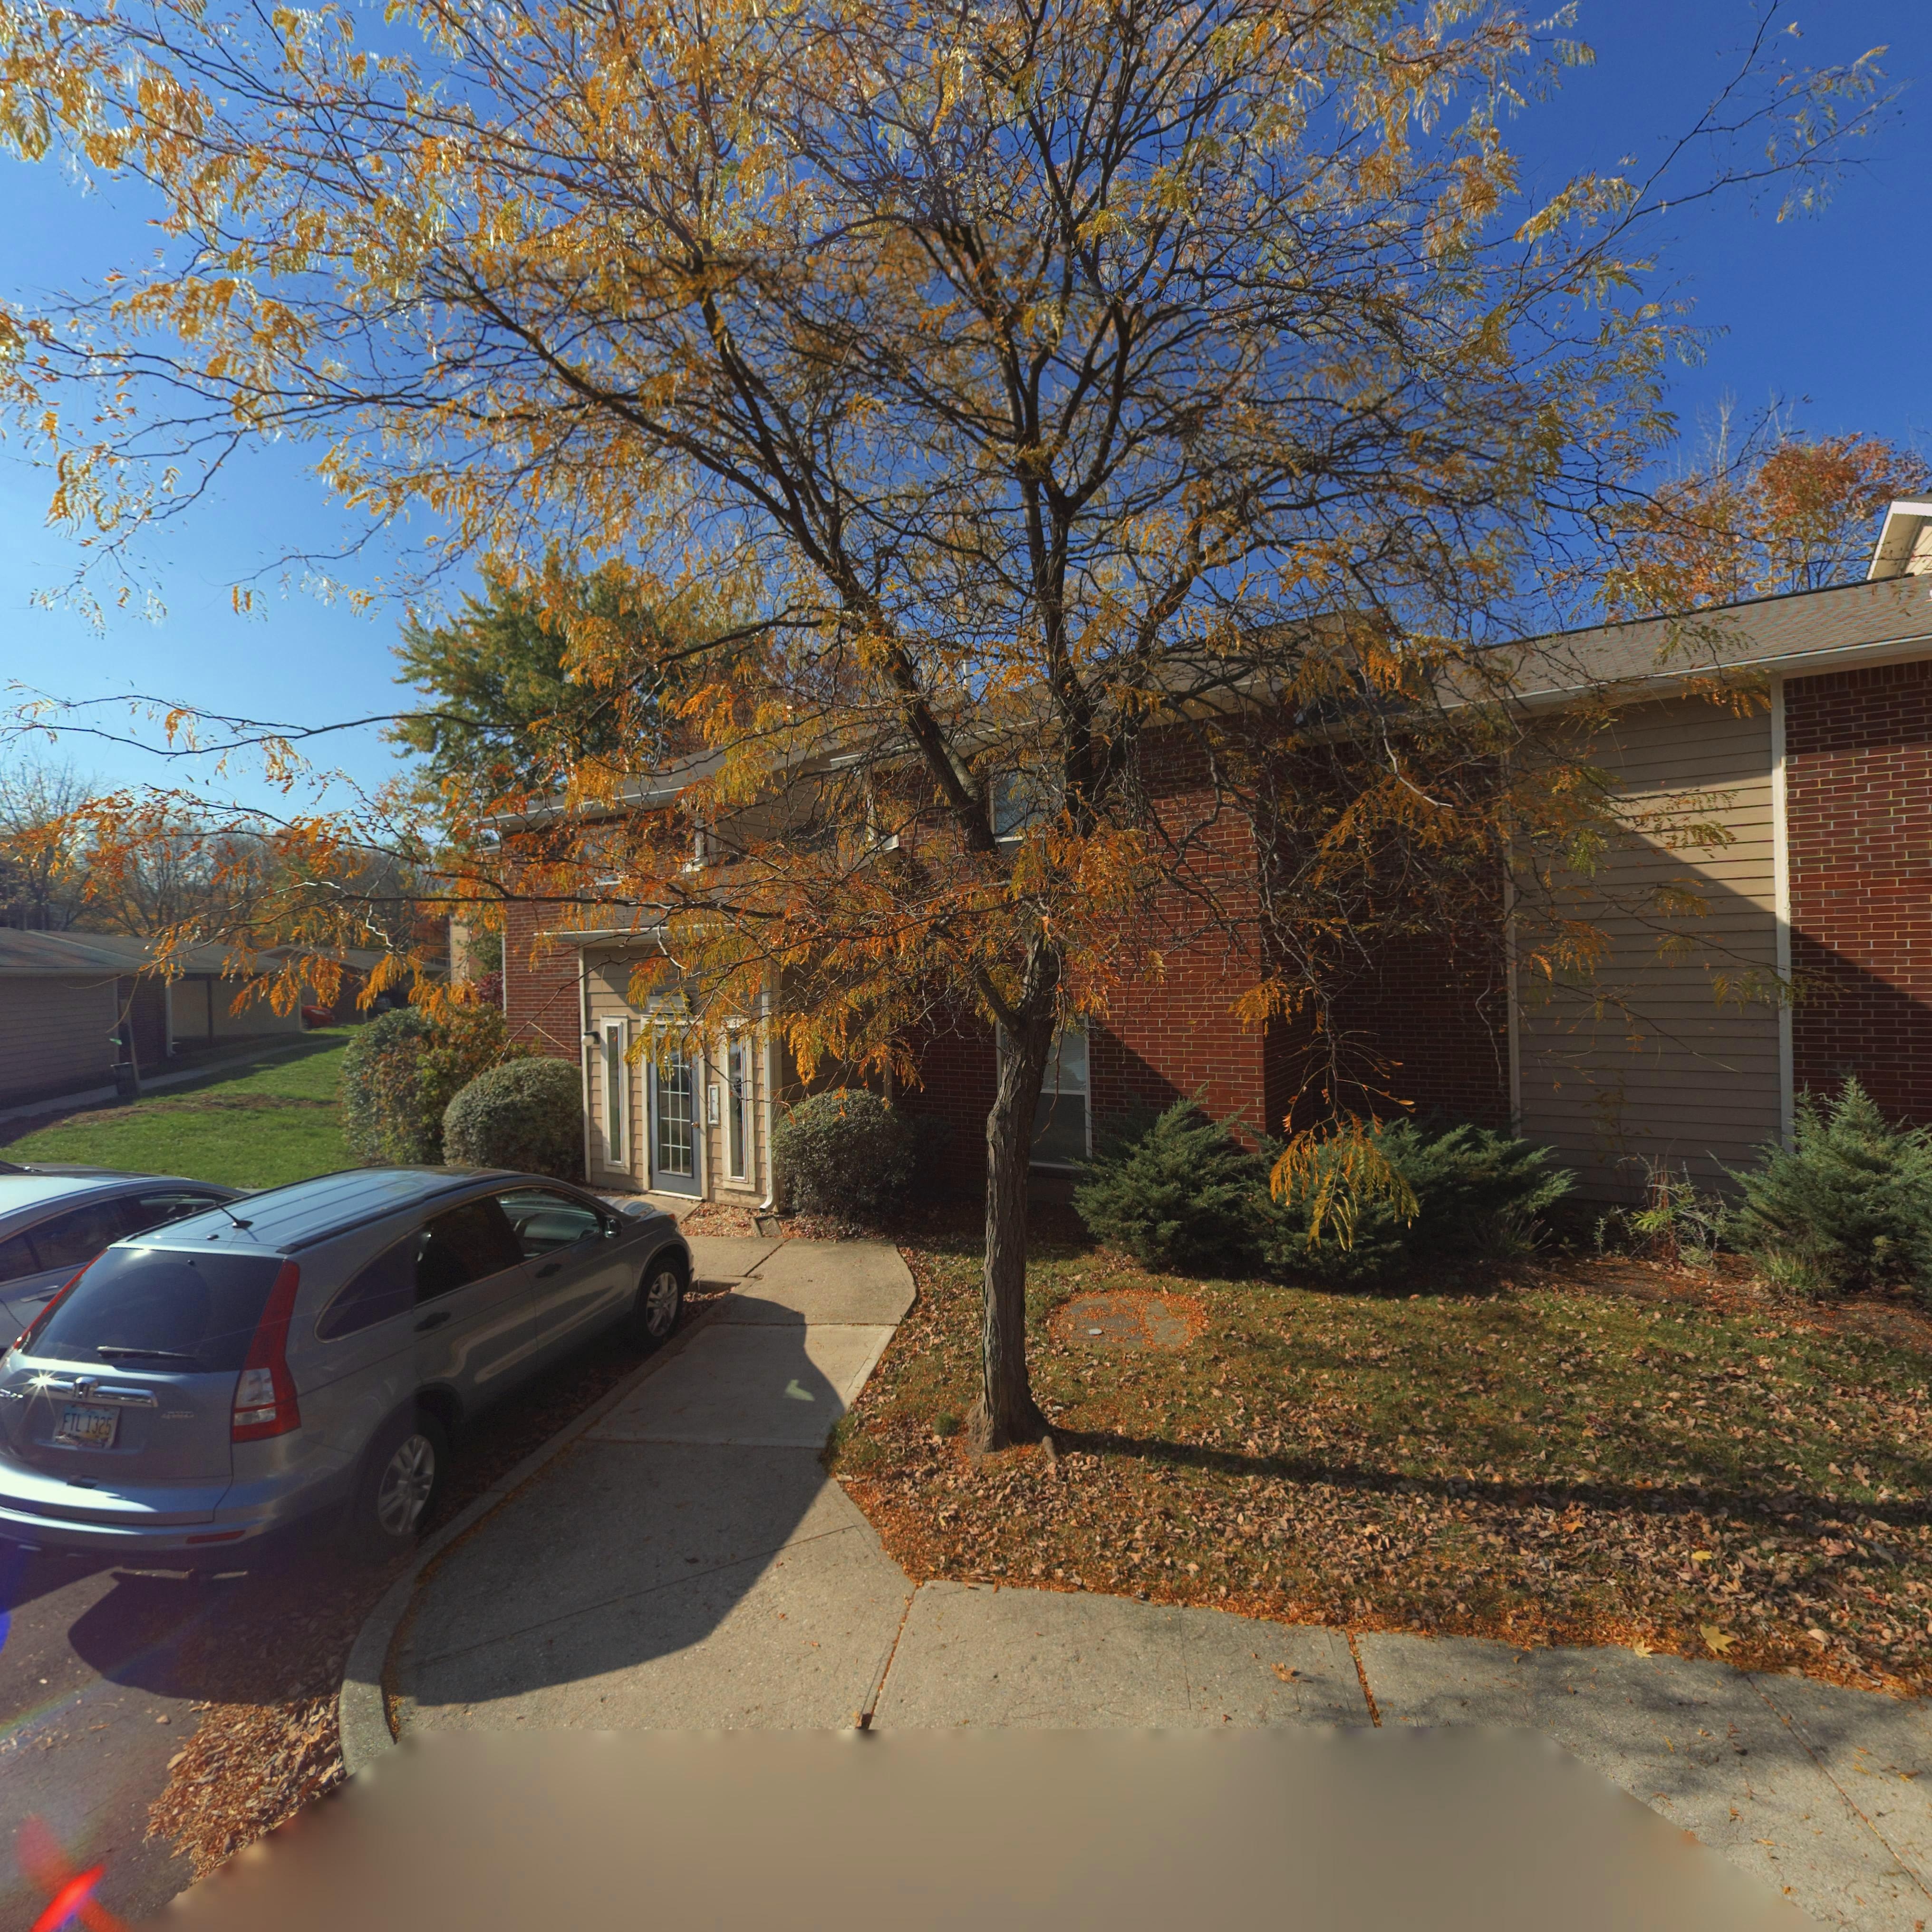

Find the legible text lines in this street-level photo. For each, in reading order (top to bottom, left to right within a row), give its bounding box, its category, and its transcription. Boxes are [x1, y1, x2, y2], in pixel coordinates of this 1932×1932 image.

[59, 1409, 117, 1439] None: FTL 1325
[157, 1409, 198, 1421] None: 4WD